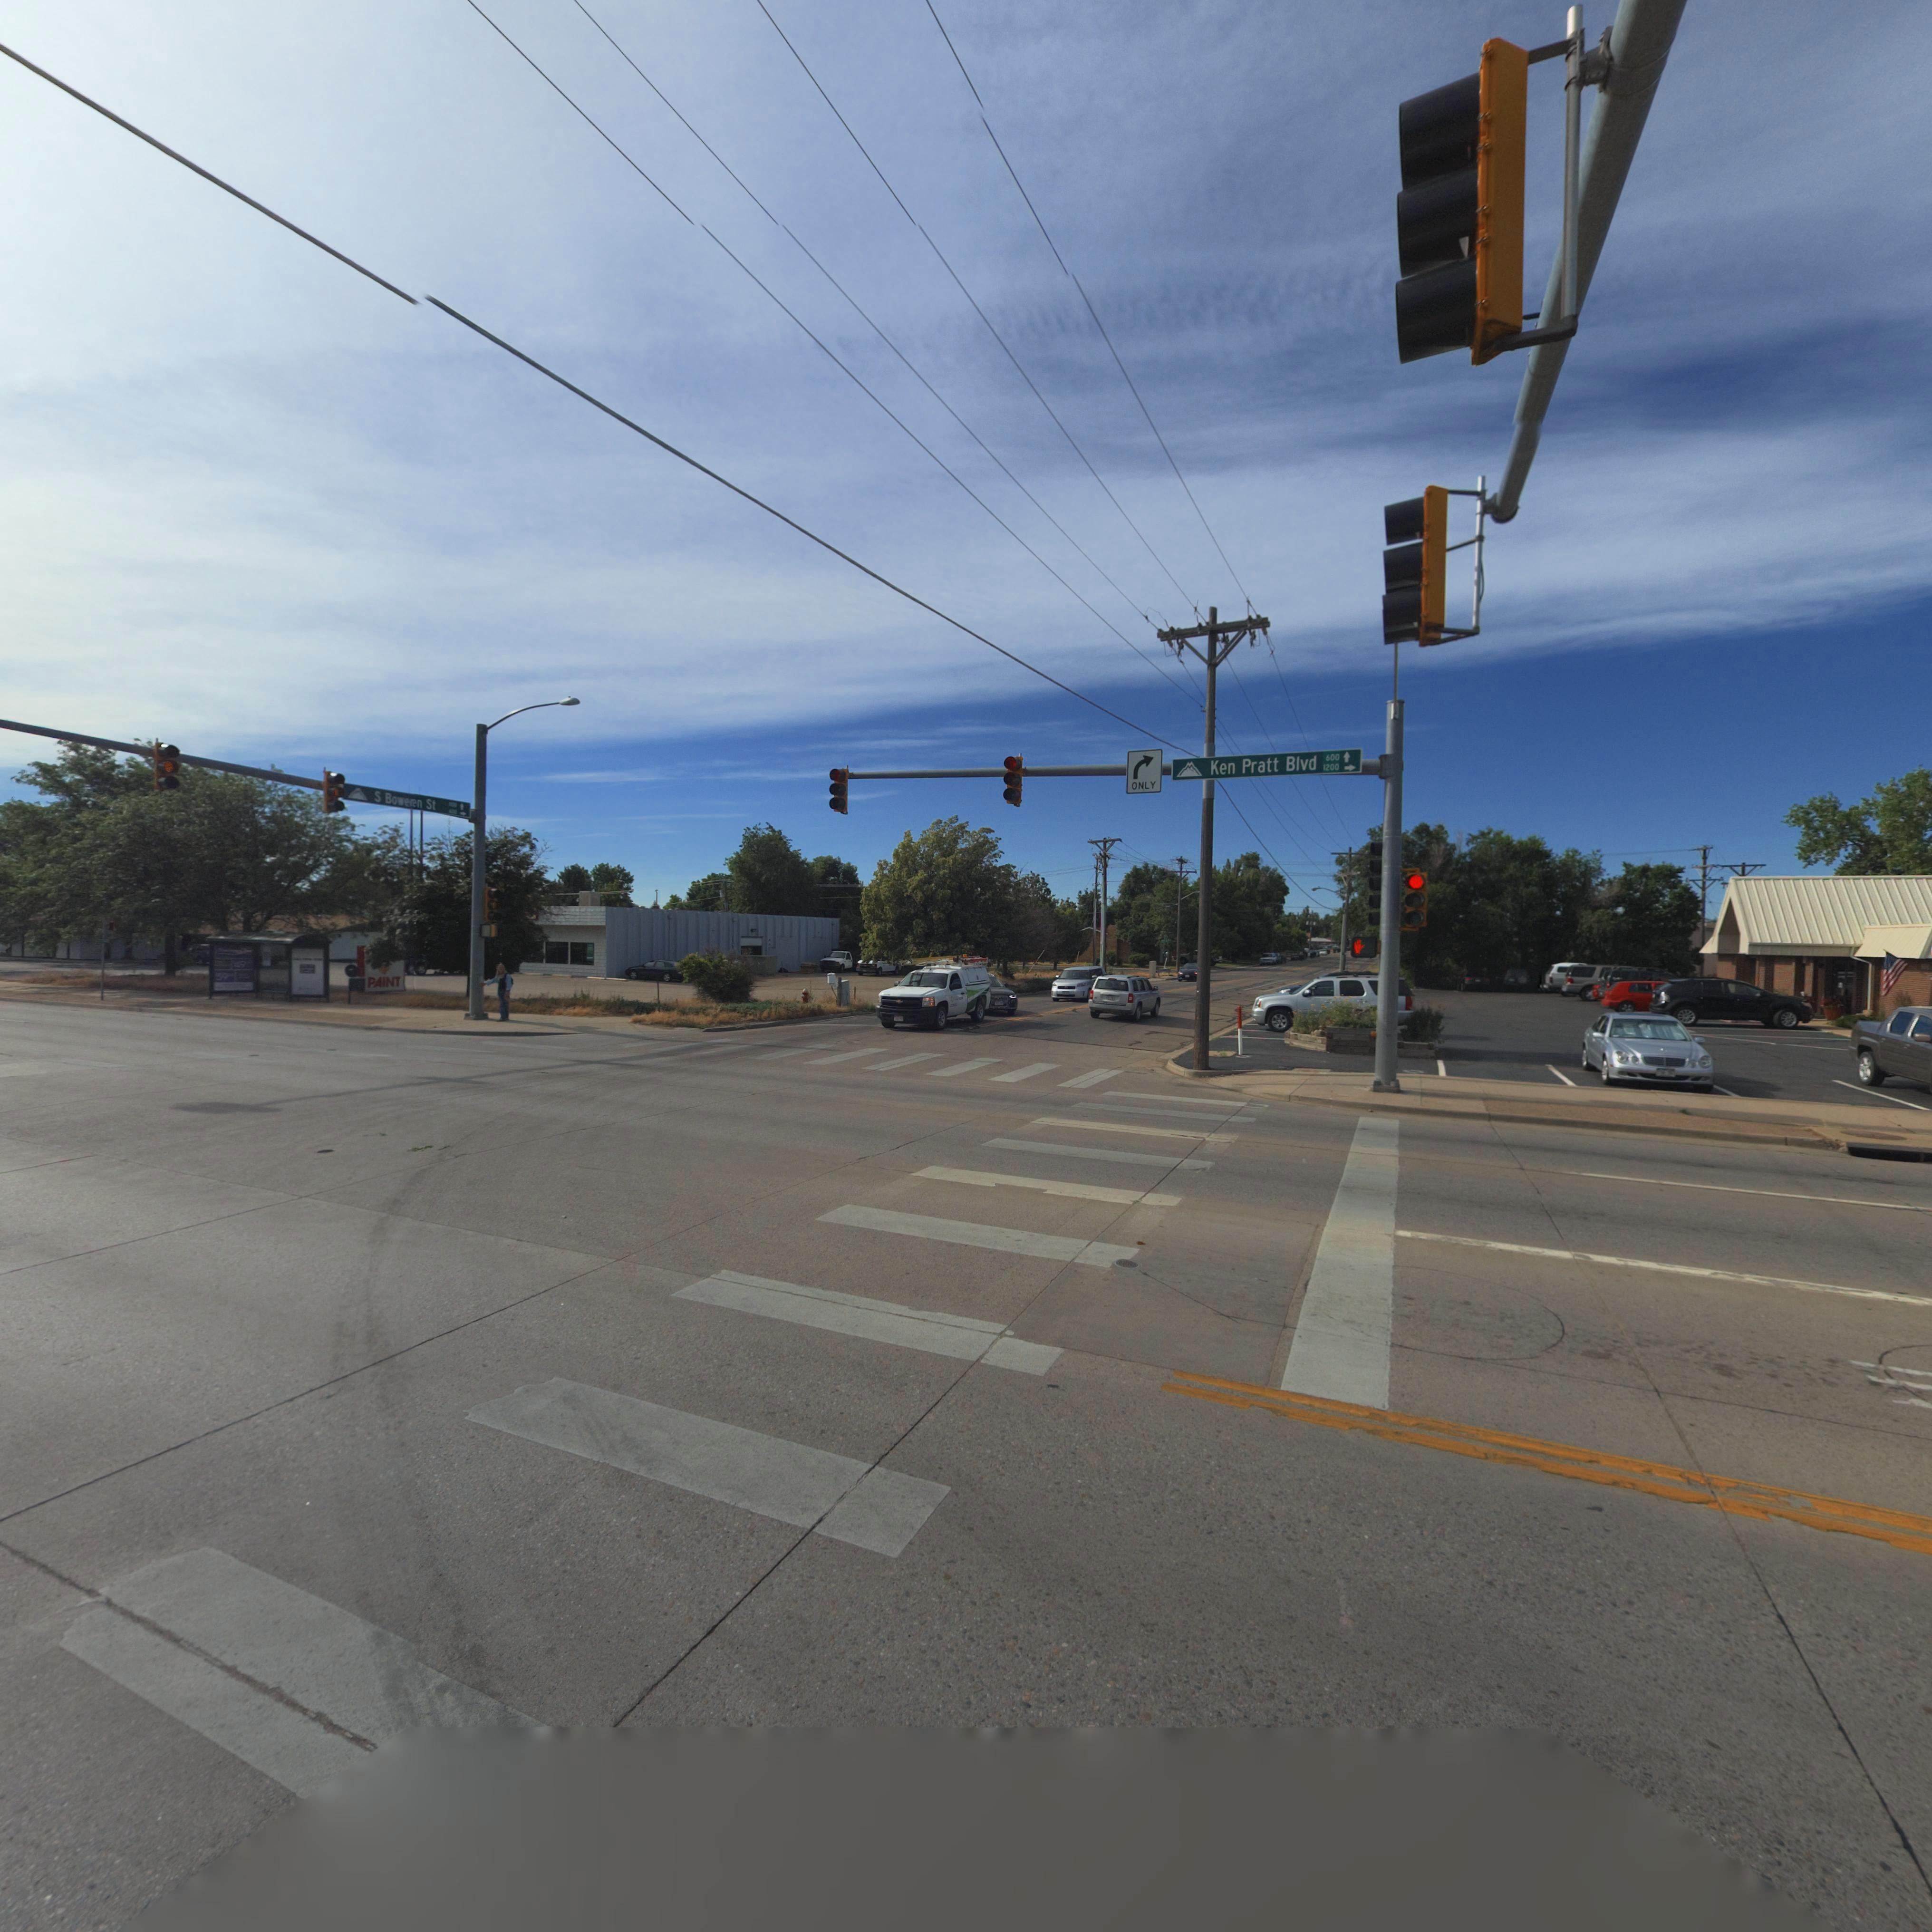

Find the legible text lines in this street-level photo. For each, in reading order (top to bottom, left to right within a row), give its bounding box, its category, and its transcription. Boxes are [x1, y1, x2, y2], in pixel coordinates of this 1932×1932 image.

[1325, 753, 1340, 761] StreetNumberRange: 600
[1210, 754, 1317, 775] StreetName: Ken Pratt Blvd
[1323, 763, 1356, 771] StreetNumberRange: 1200->
[374, 791, 436, 810] StreetName: S Bo*e*en St
[448, 801, 457, 808] StreetNumberRange: 1***
[449, 808, 467, 816] StreetNumberRange: 600->
[367, 976, 401, 988] BusinessName: PAINT